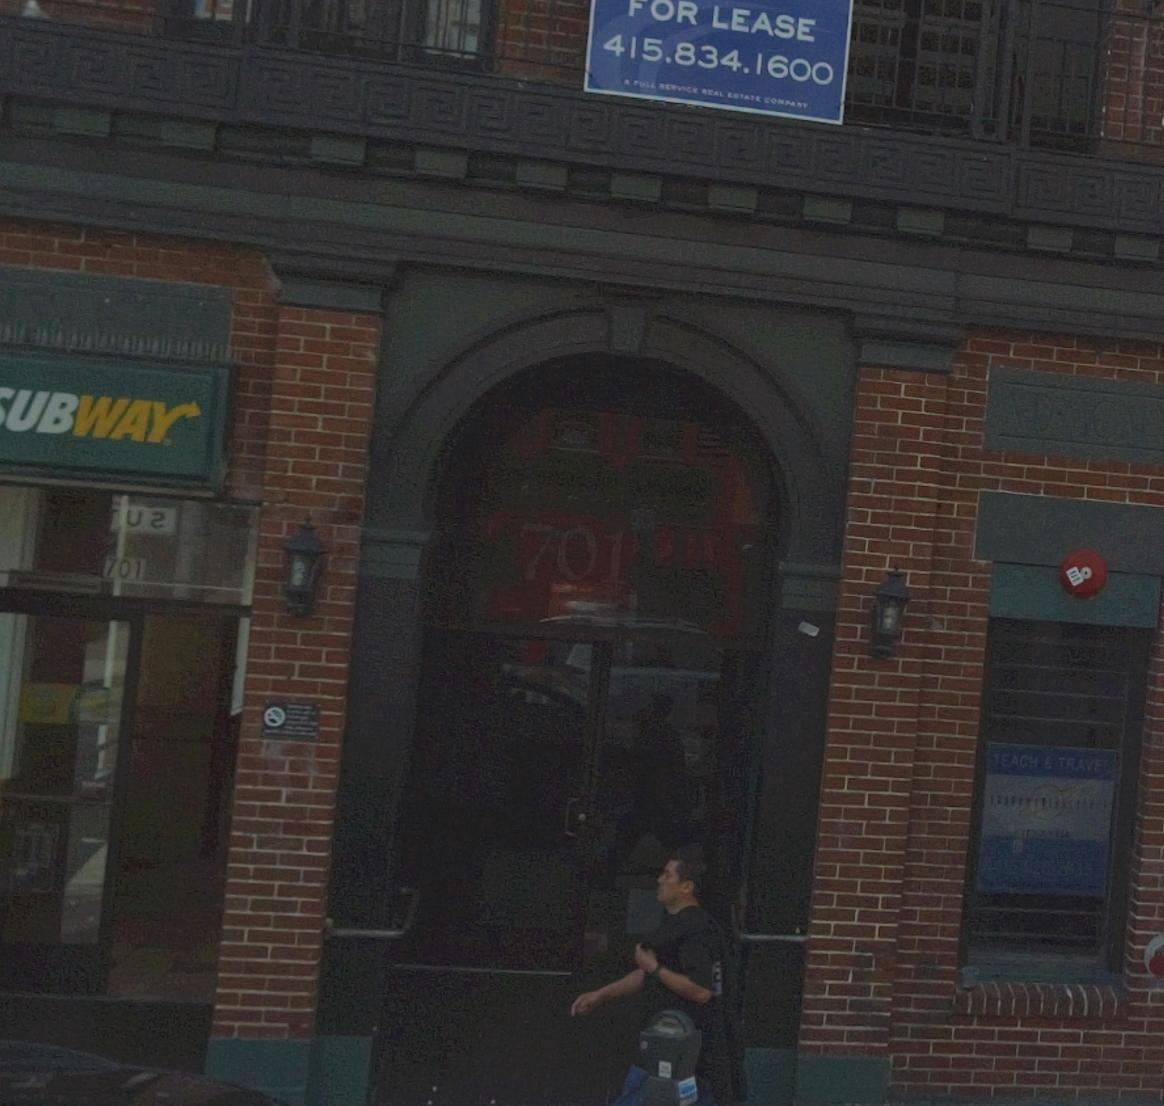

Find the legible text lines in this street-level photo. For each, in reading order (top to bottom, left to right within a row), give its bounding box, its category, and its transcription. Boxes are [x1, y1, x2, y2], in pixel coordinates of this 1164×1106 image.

[646, 1, 821, 51] None: OR LEASE
[599, 26, 837, 92] None: 415.834.1600
[618, 75, 814, 116] None: A FULL SERVICE REAL ESTATE COMPANY
[0, 382, 201, 451] BusinessName: UBWAY
[588, 405, 650, 476] None: U
[120, 505, 173, 535] None: U*
[101, 553, 152, 582] StreetNumber: 701
[511, 515, 639, 591] StreetNumber: 701
[990, 749, 1115, 777] None: TEACH & TRAVEL